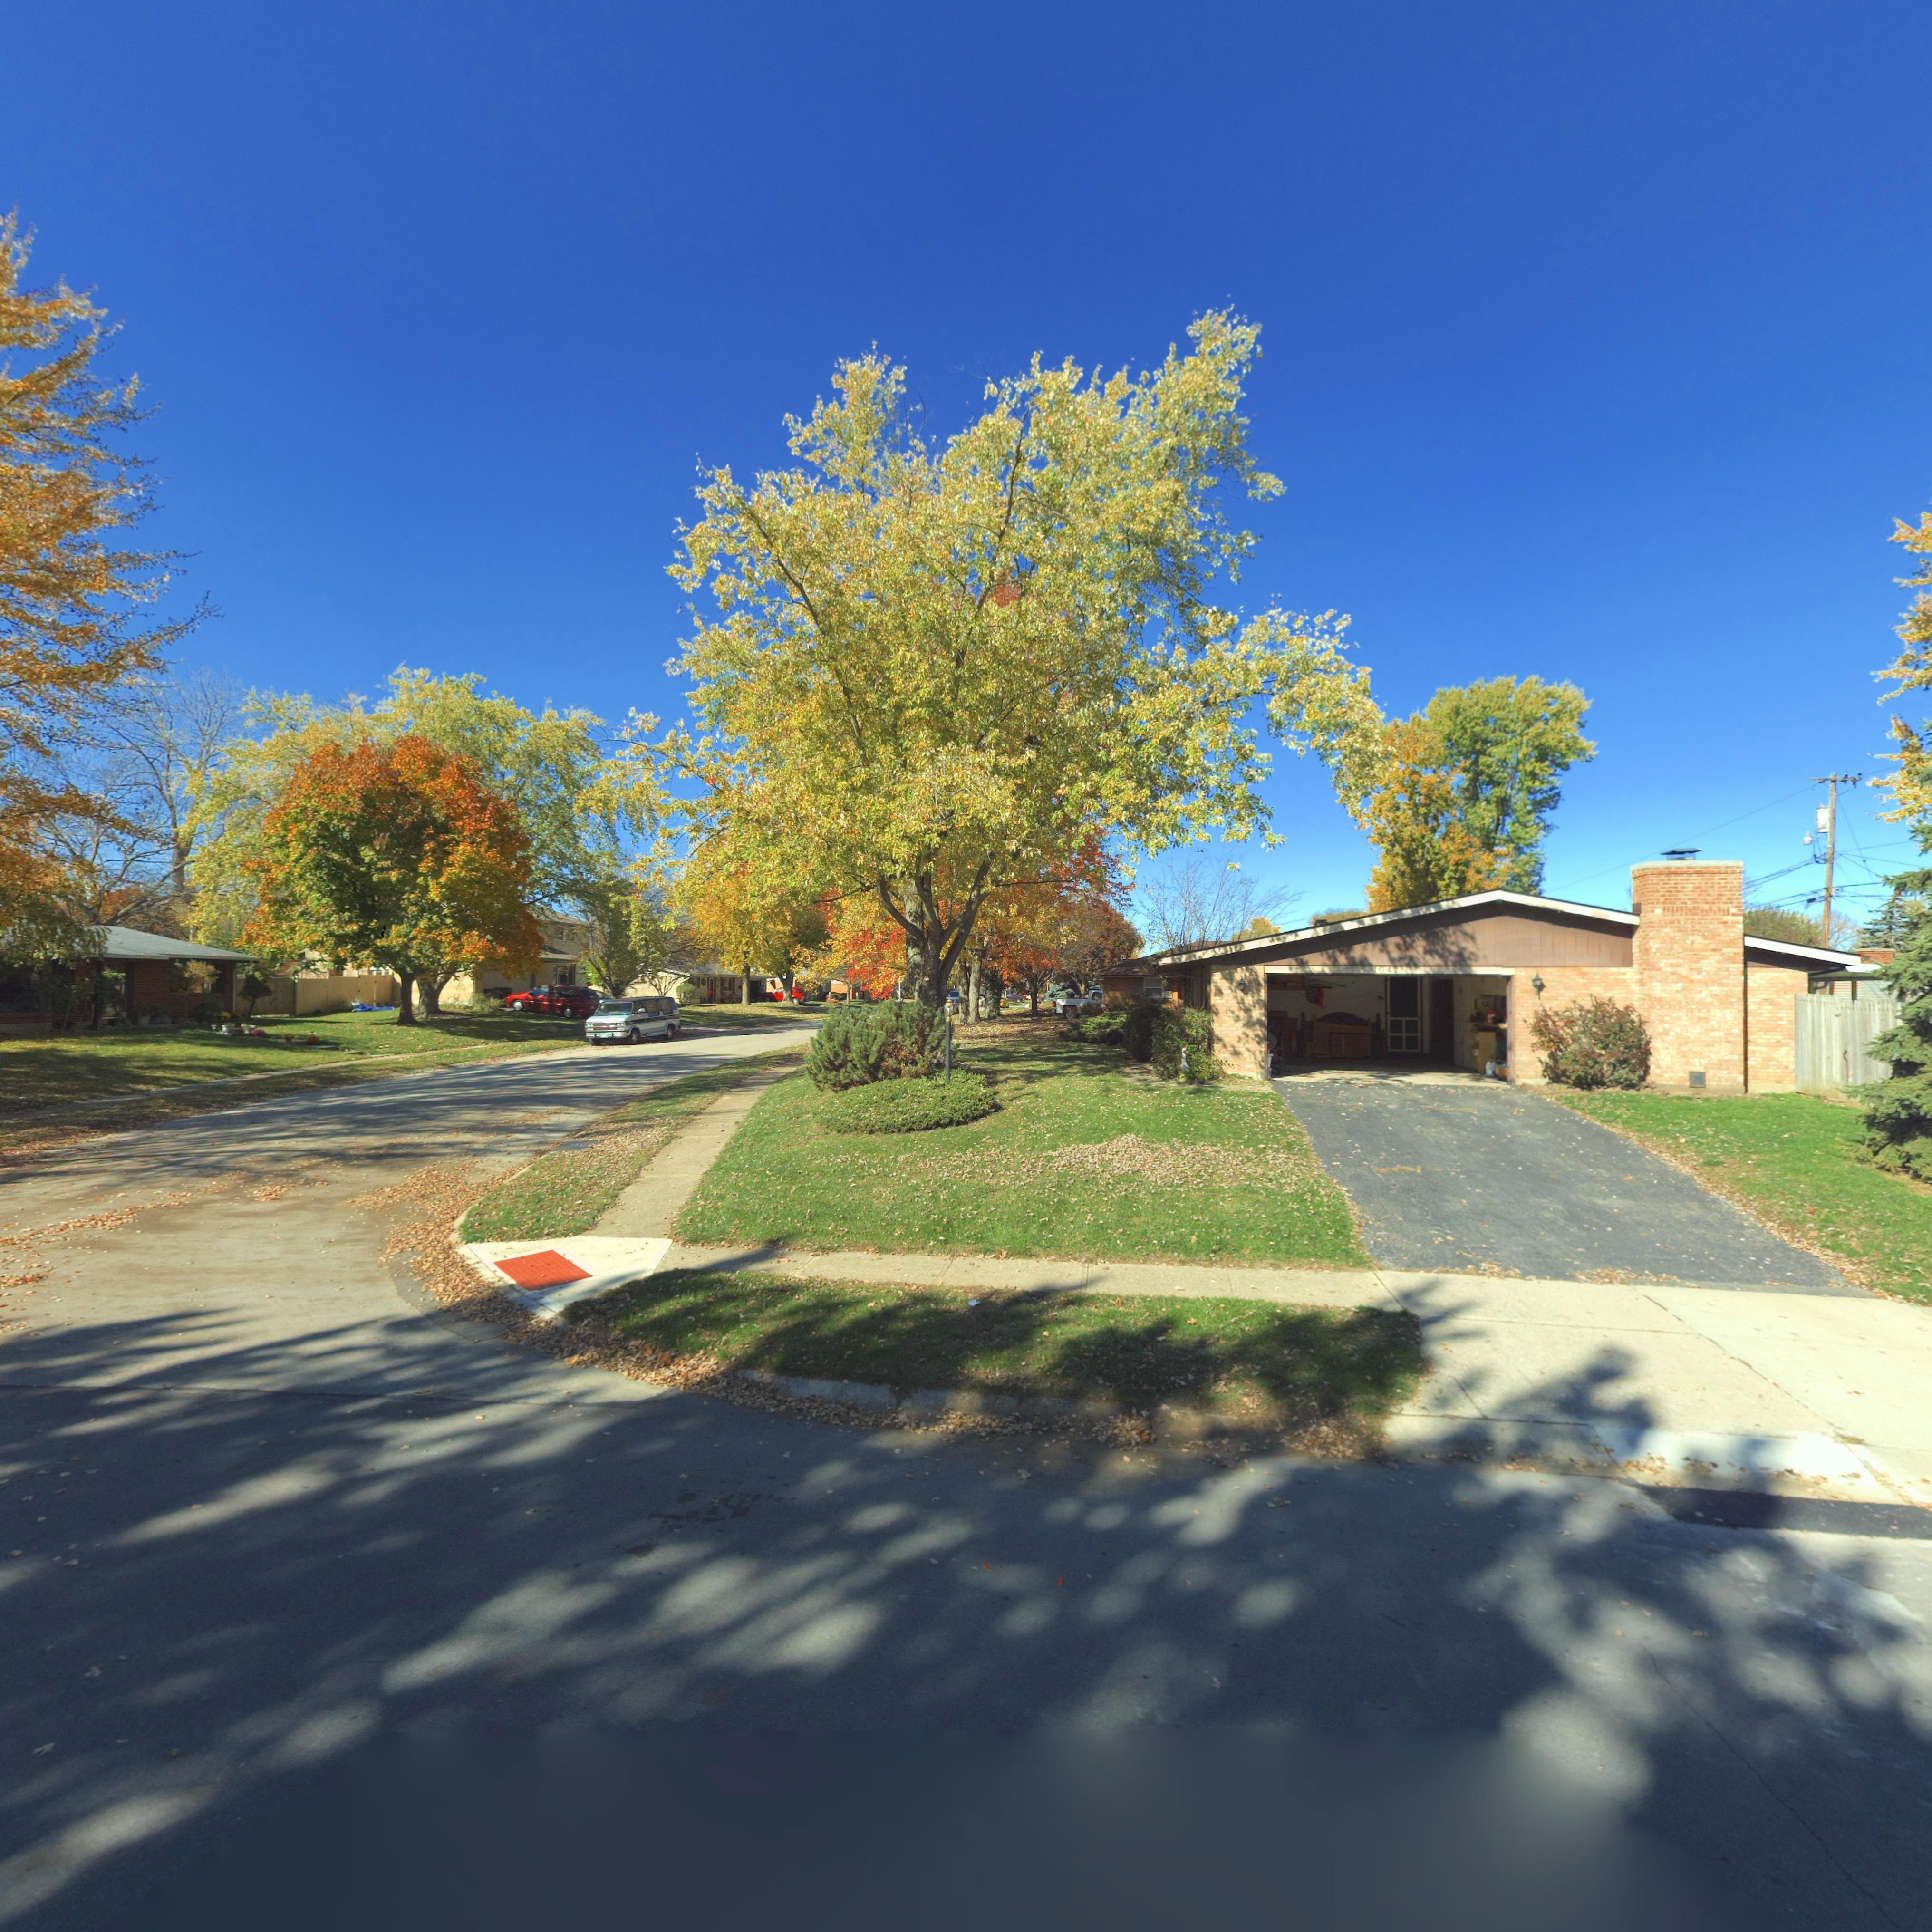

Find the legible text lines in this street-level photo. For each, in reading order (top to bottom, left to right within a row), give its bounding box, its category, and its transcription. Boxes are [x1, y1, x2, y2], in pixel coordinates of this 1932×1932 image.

[1372, 966, 1398, 973] StreetNumber: 1042